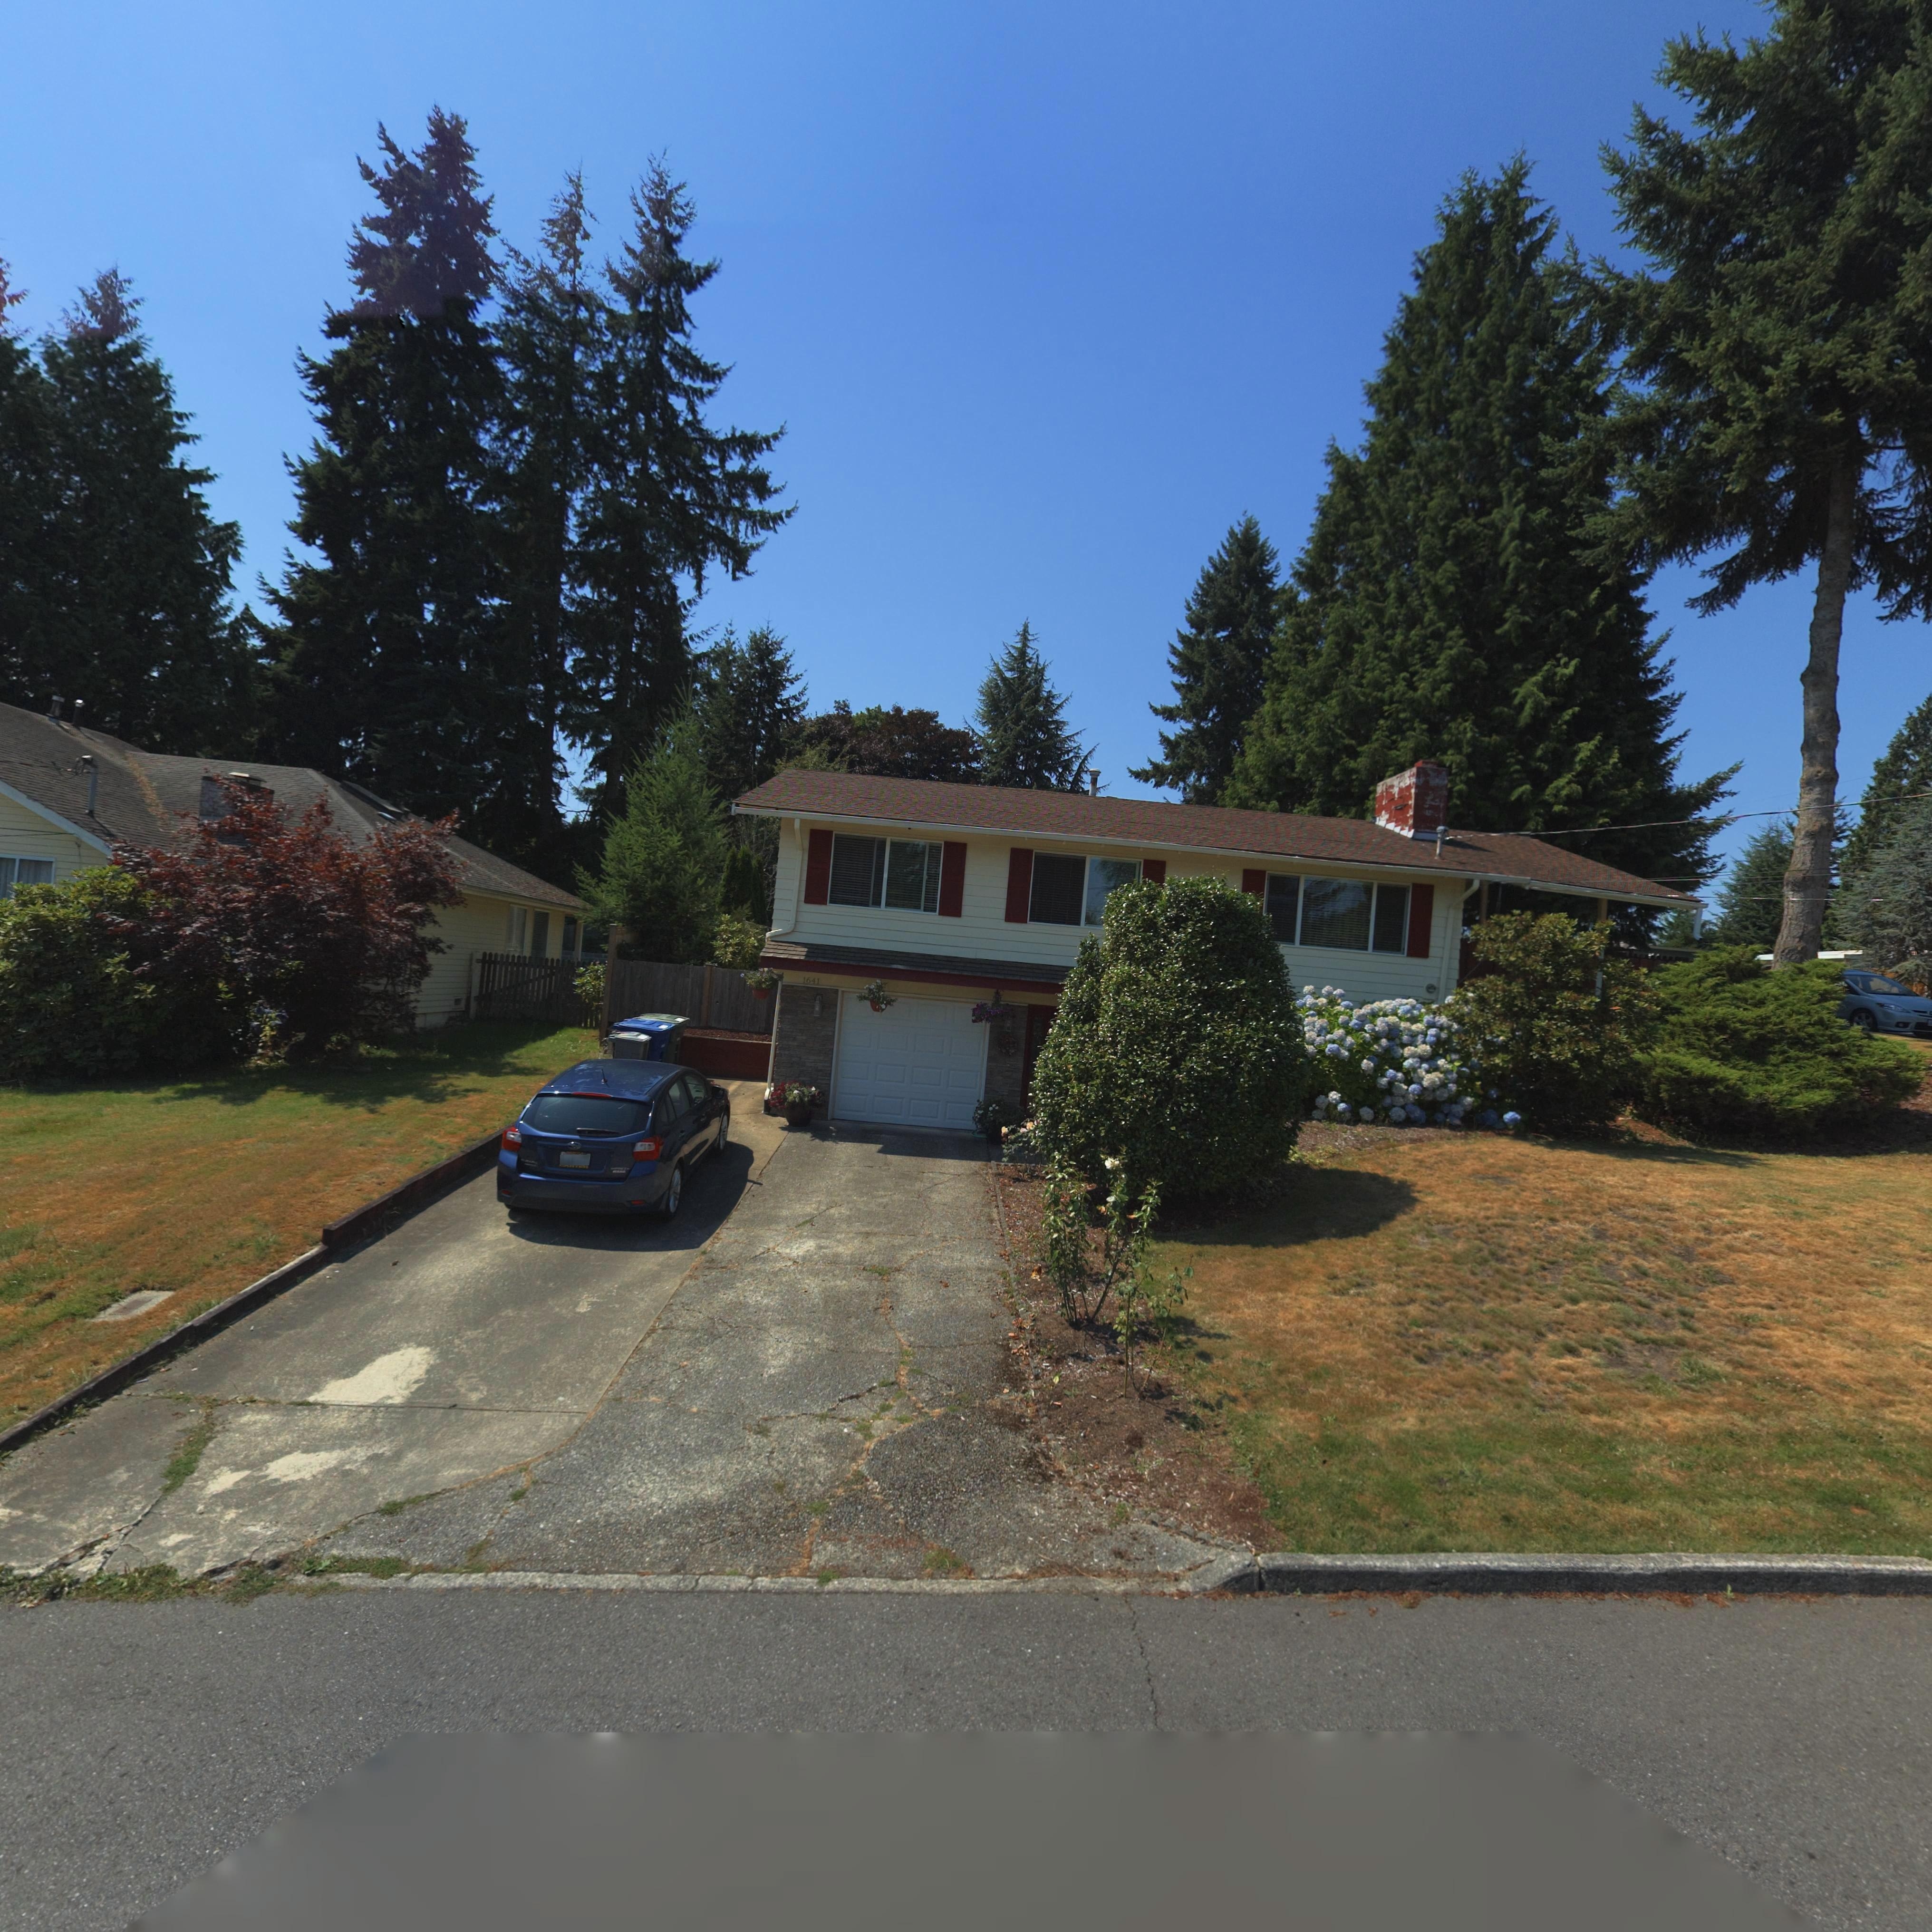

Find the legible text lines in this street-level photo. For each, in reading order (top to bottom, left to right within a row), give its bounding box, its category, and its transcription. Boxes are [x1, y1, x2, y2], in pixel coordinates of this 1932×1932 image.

[802, 976, 820, 985] StreetNumber: 1641